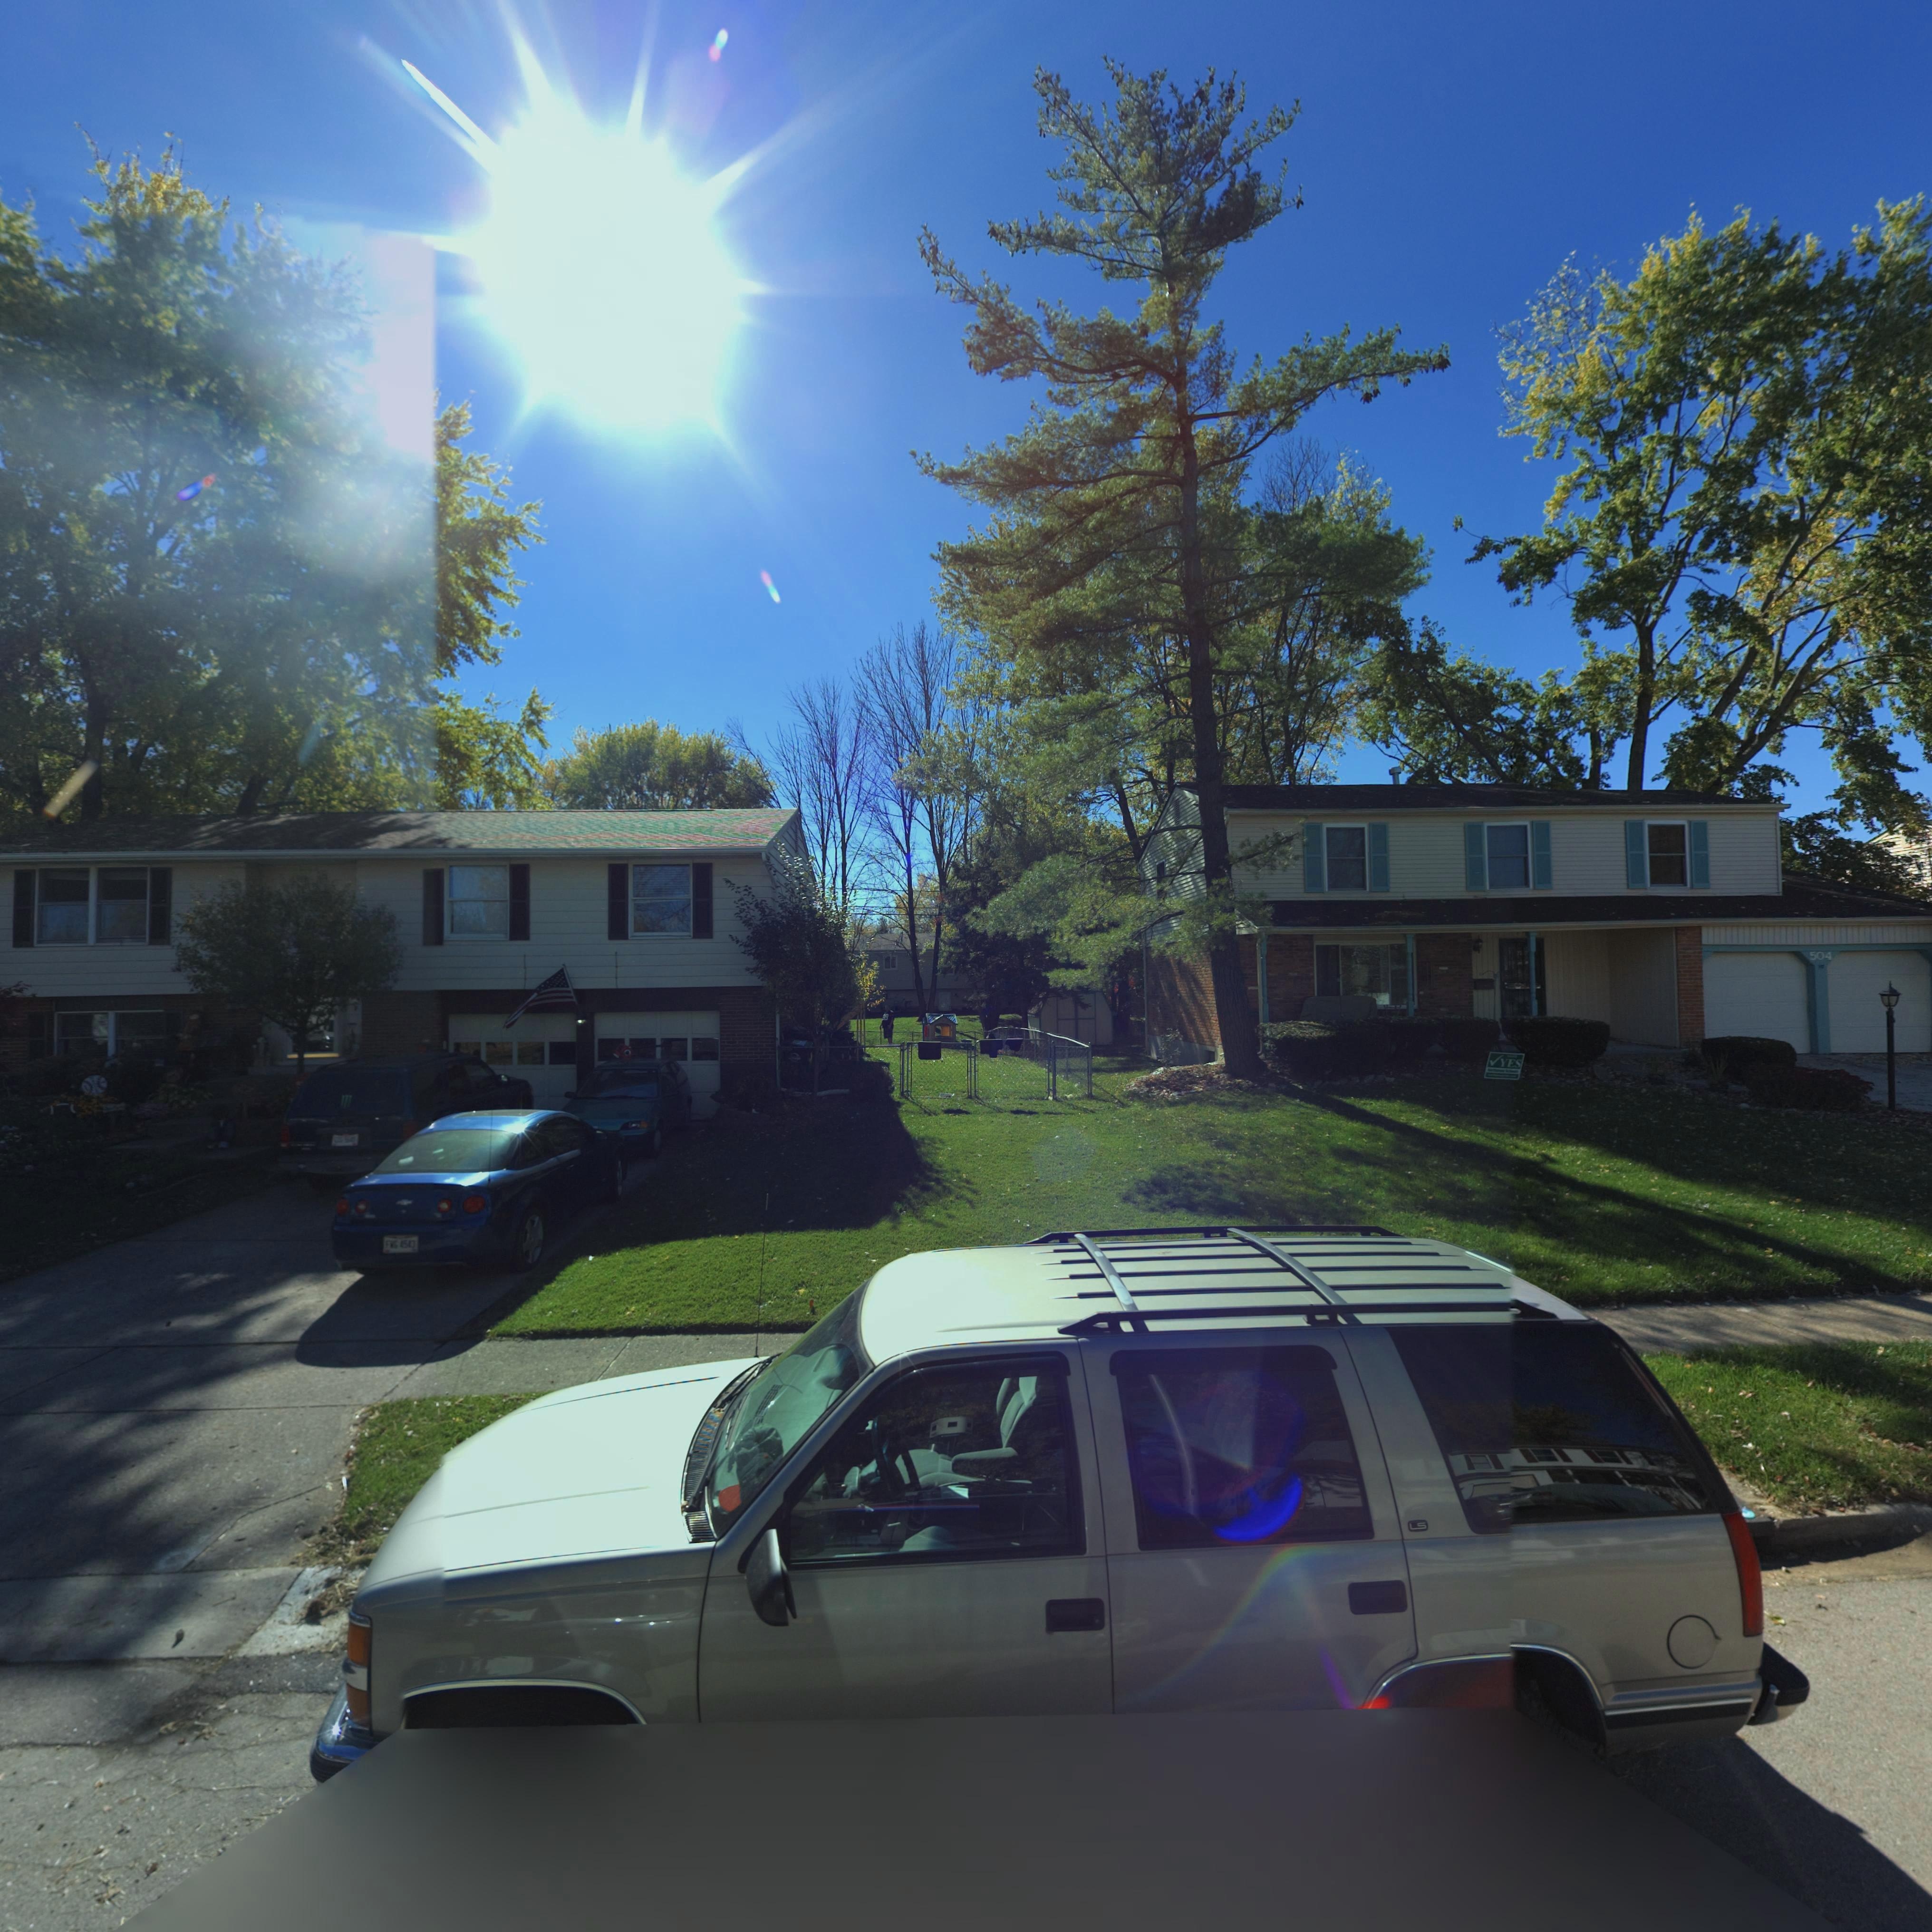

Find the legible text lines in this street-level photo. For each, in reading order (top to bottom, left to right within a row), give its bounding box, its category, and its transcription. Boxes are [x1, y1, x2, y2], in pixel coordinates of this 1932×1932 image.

[1809, 950, 1833, 962] StreetNumber: 504